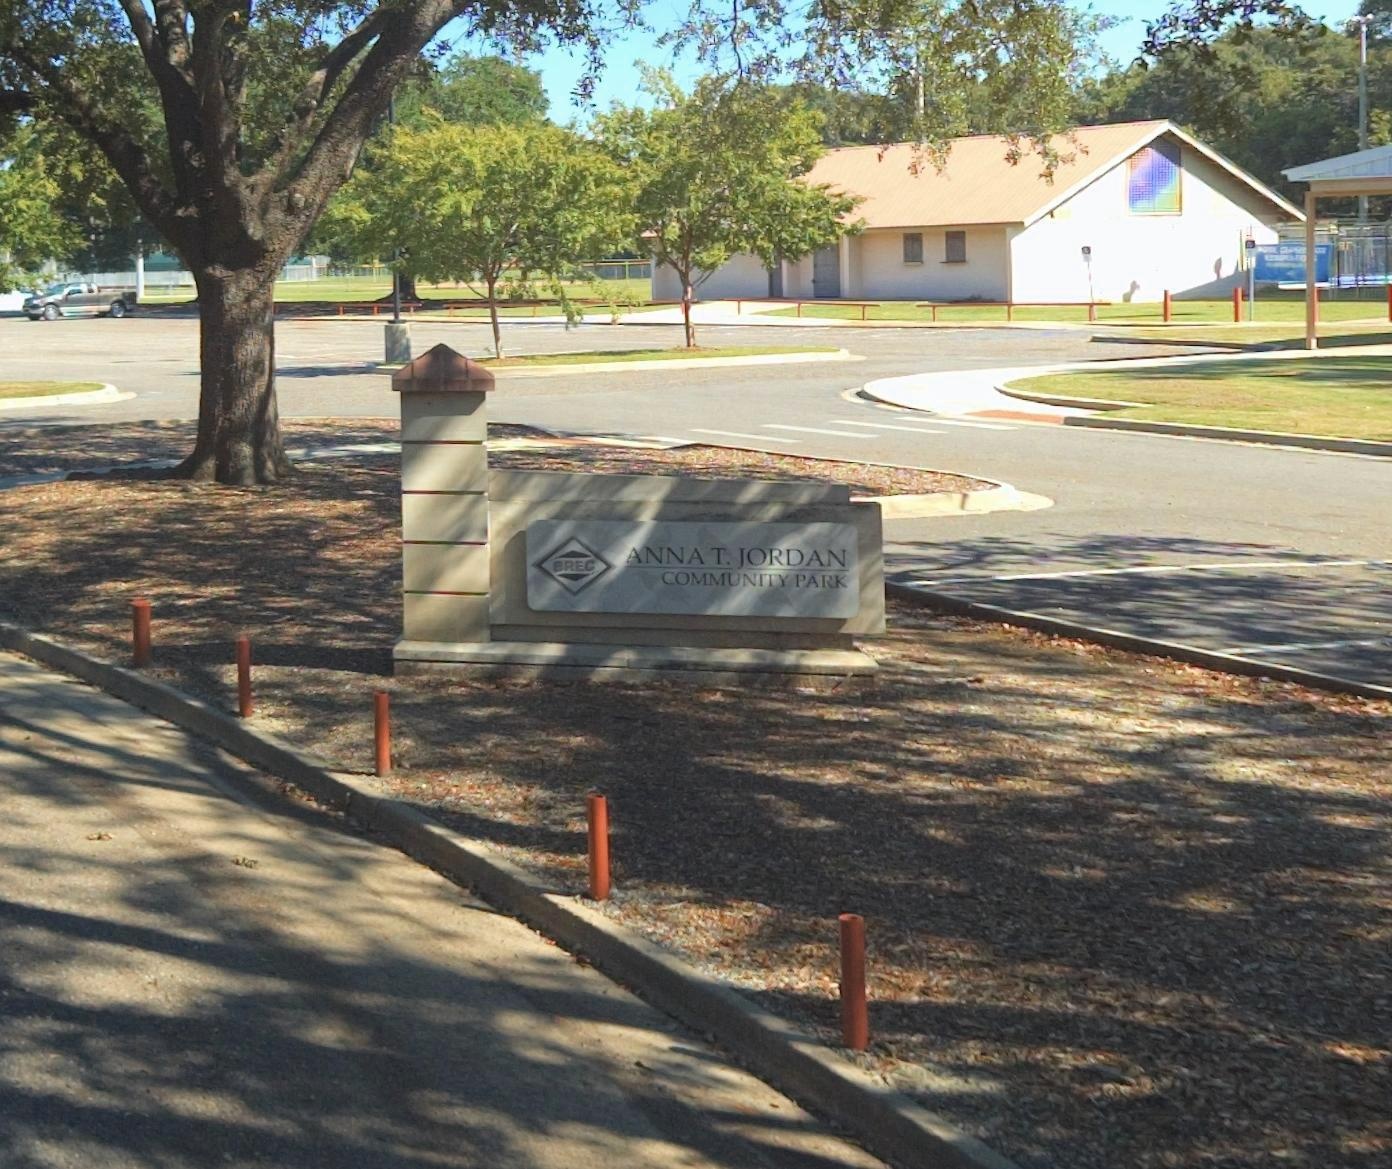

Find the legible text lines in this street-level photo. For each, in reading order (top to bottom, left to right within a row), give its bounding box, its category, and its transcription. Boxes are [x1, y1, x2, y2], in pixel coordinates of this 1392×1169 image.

[551, 558, 596, 574] None: BREC
[625, 546, 848, 568] BusinessName: ANNA T. JORDAN
[662, 570, 849, 590] BusinessName: COMMUNITY PARK